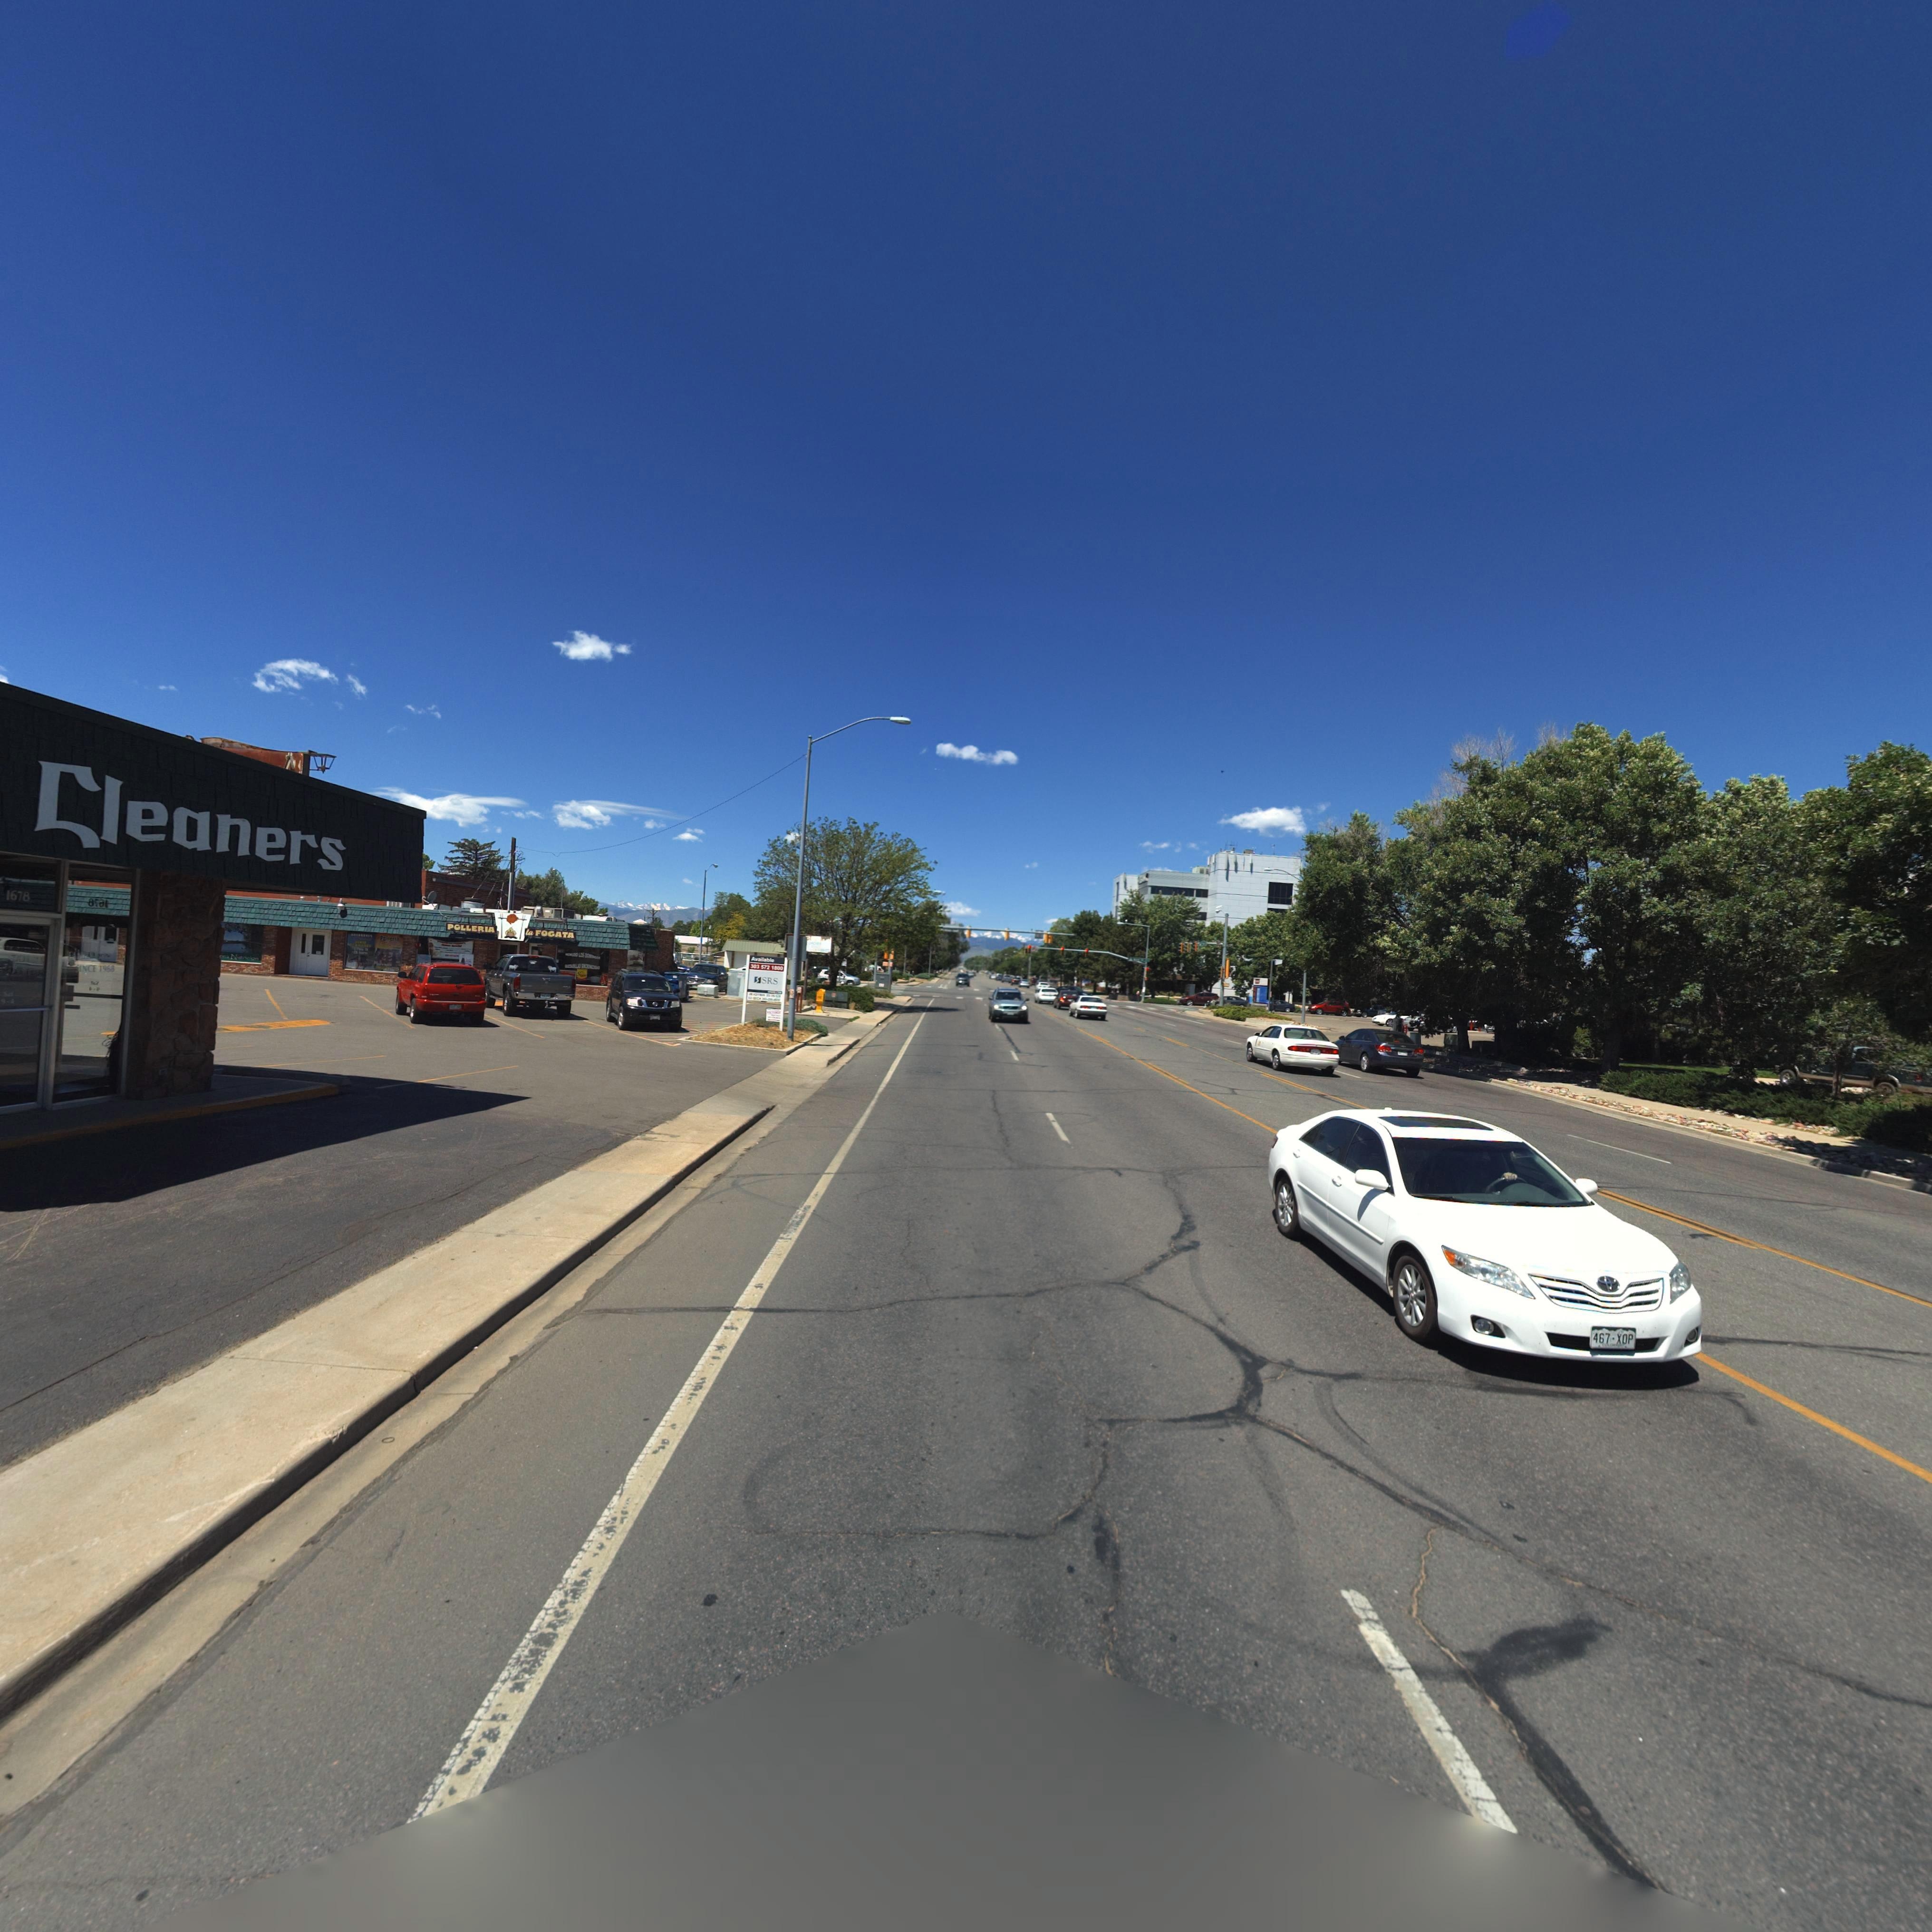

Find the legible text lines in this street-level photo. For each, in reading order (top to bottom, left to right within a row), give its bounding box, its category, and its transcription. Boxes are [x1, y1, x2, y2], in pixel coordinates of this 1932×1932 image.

[30, 758, 351, 873] BusinessName: Cleaners
[5, 889, 30, 902] StreetNumber: 1678
[87, 898, 109, 908] StreetNumber: 8**1
[446, 923, 575, 939] BusinessName: POLLERIA la FOGATA